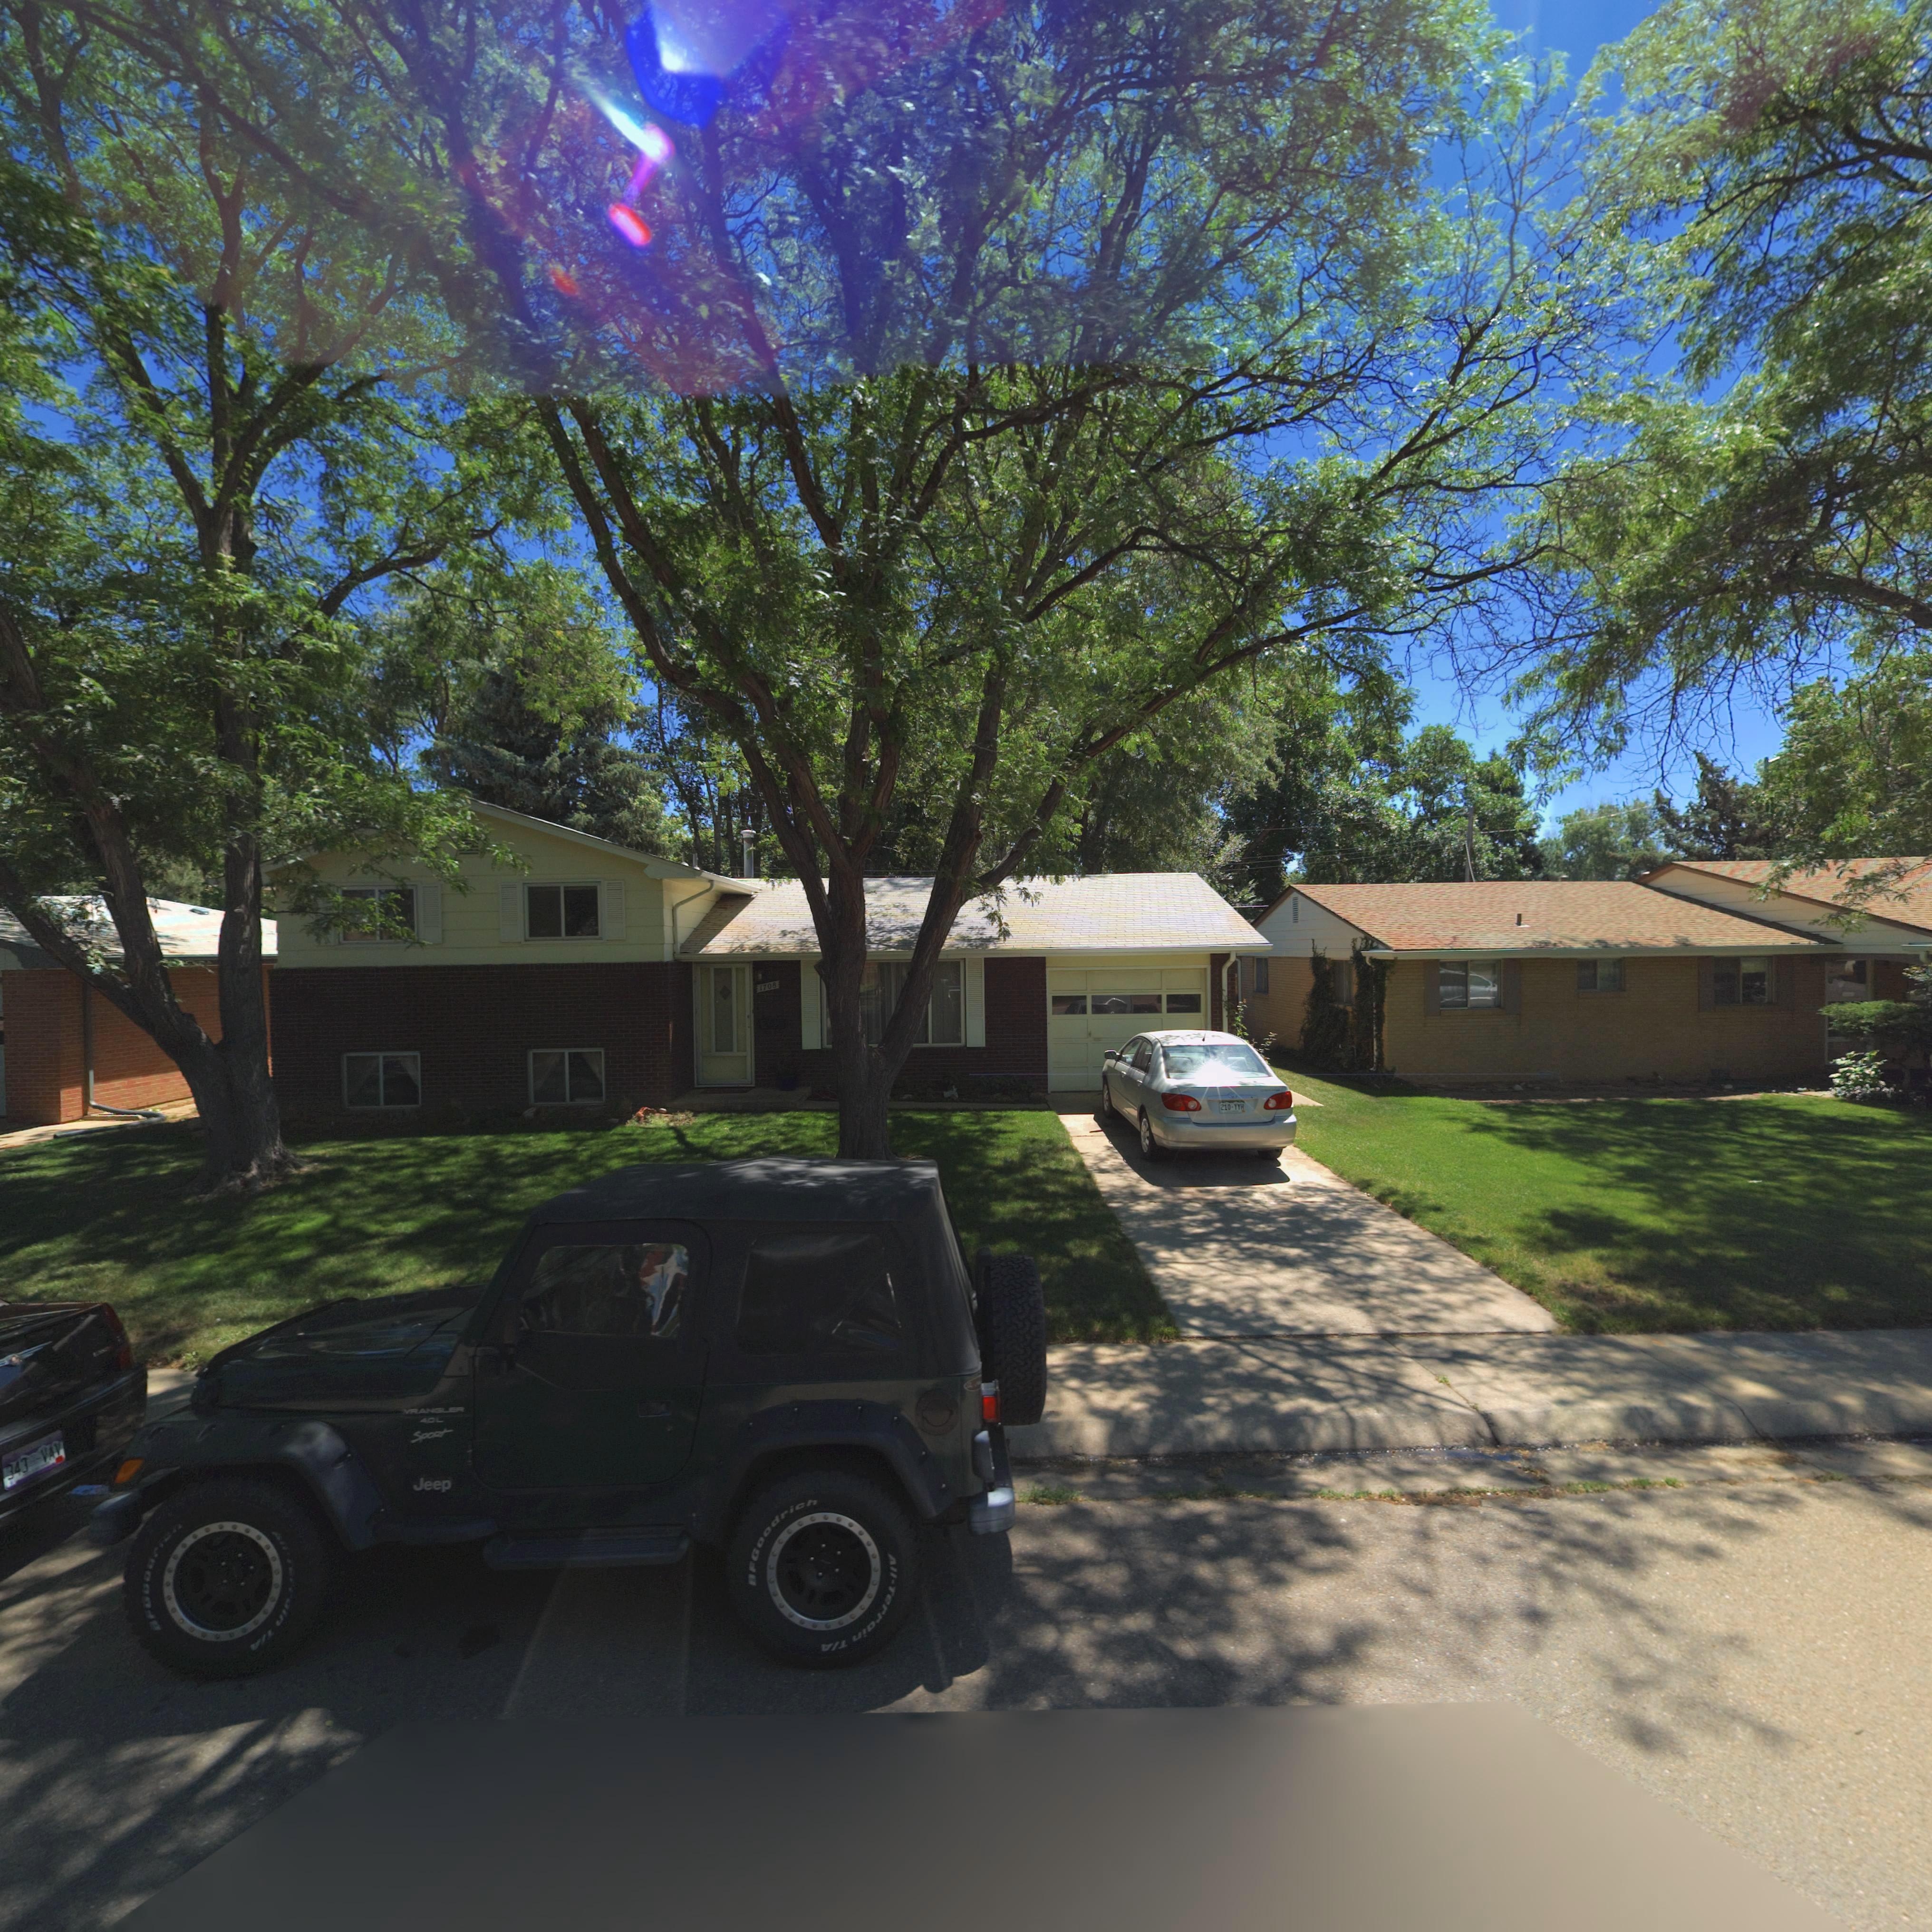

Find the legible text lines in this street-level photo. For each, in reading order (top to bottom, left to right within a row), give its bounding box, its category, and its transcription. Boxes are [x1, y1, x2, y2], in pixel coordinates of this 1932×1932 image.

[760, 981, 777, 991] StreetNumber: 1708